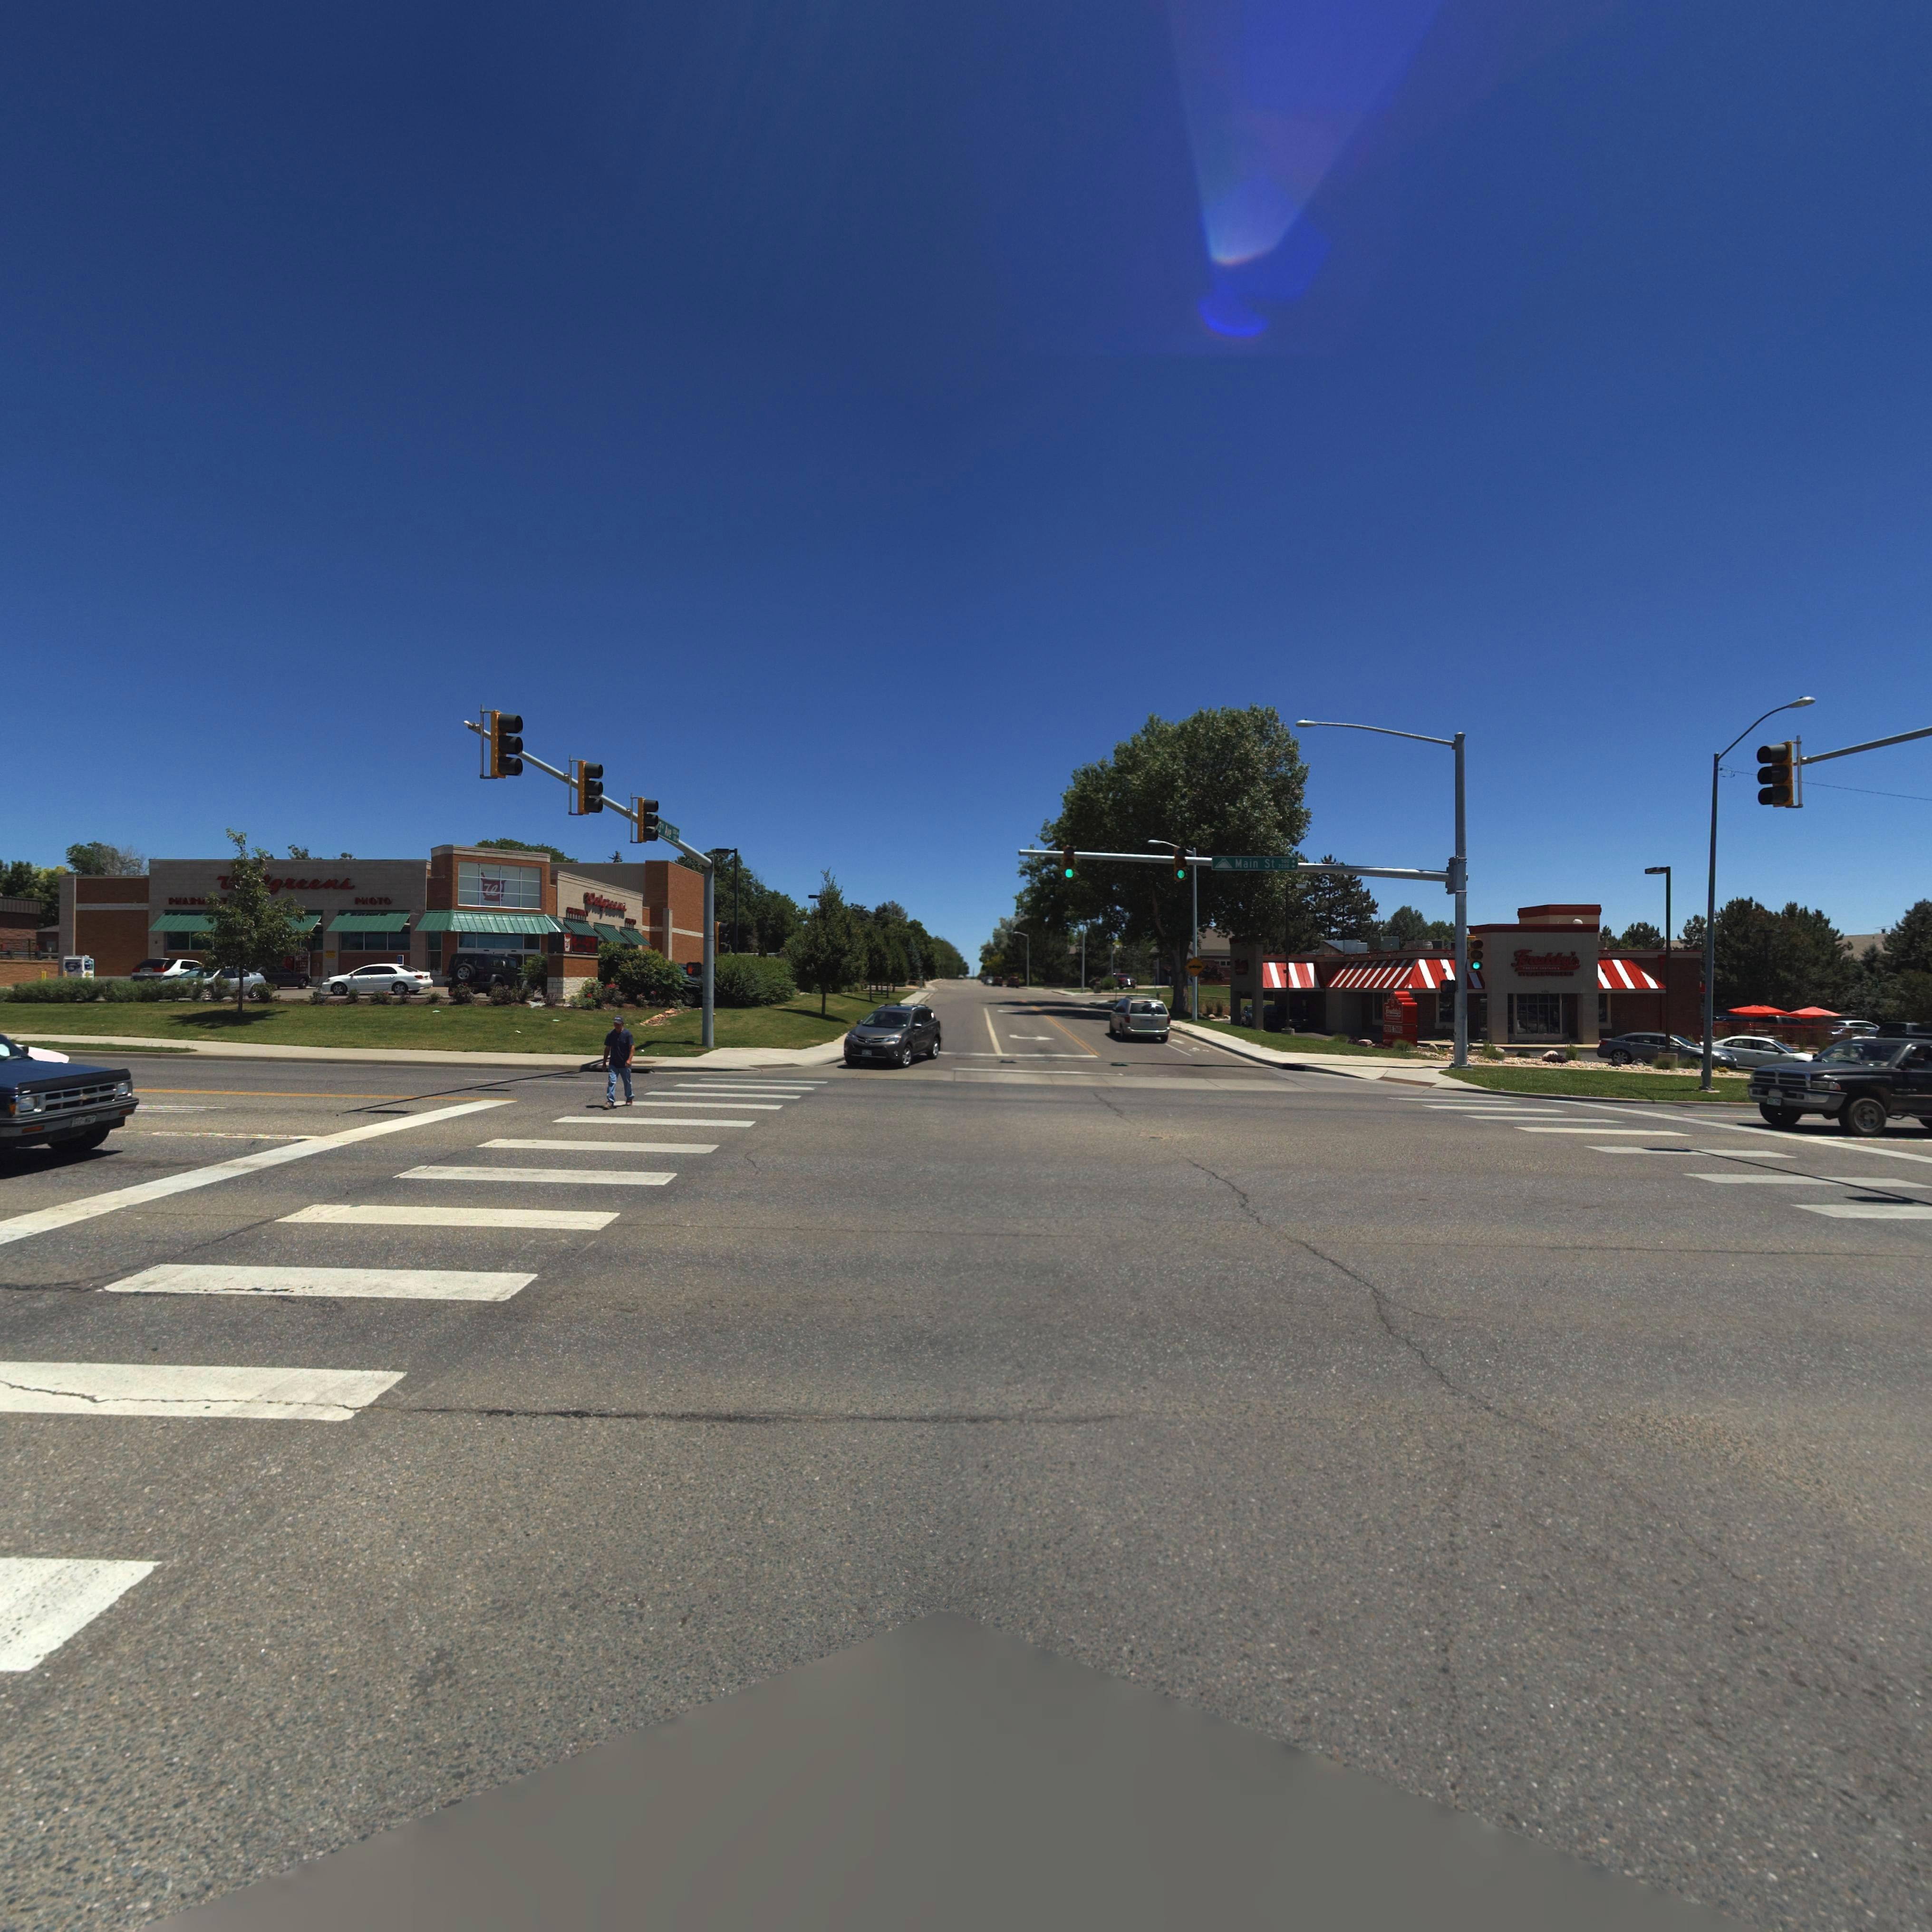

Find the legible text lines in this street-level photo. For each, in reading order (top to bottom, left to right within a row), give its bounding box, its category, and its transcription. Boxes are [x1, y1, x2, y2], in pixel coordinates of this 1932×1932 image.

[1234, 858, 1275, 868] StreetName: Main St
[1281, 858, 1290, 863] StreetNumberRange: 500
[1278, 863, 1295, 868] StreetNumberRange: 2200->
[215, 873, 355, 895] BusinessName: ***greens
[585, 891, 628, 911] BusinessName: Walgreens
[1510, 948, 1579, 970] BusinessName: Freddy*s